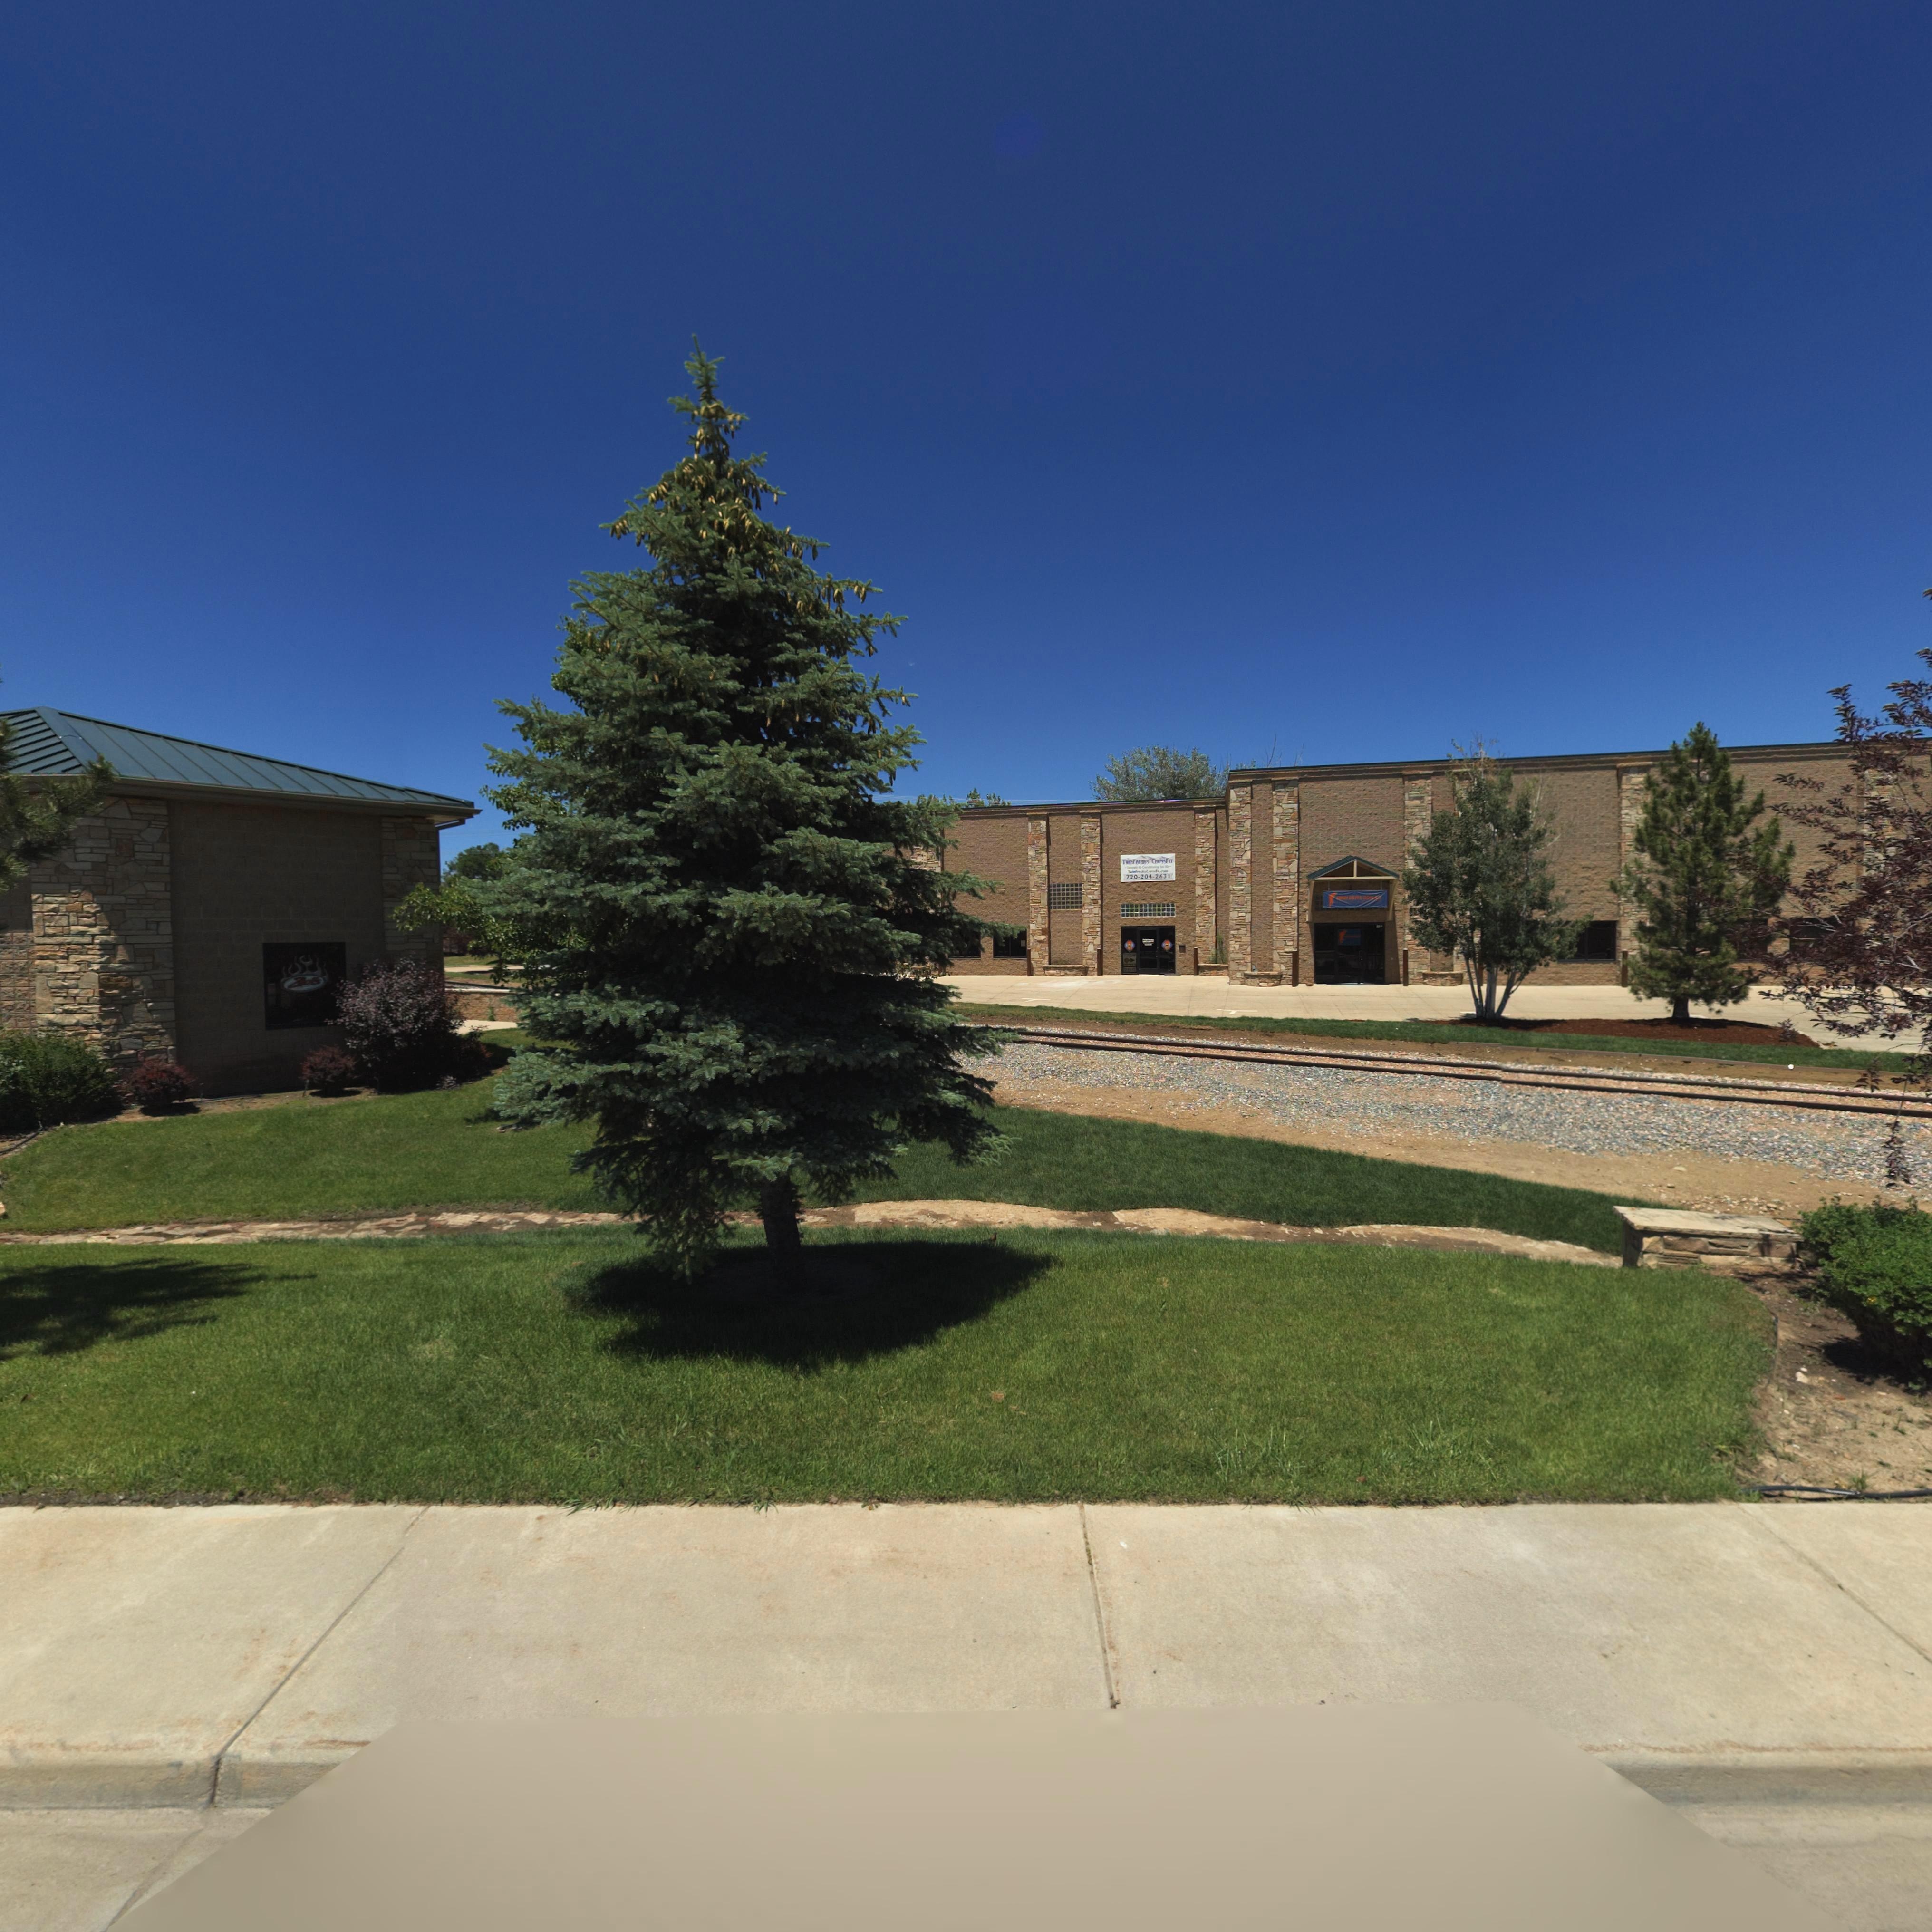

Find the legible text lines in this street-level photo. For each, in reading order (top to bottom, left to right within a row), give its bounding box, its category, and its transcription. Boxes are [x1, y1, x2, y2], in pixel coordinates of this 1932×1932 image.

[1121, 858, 1173, 864] BusinessName: TWINFREAKS CROSSFIT
[286, 976, 322, 989] BusinessName: Zholls